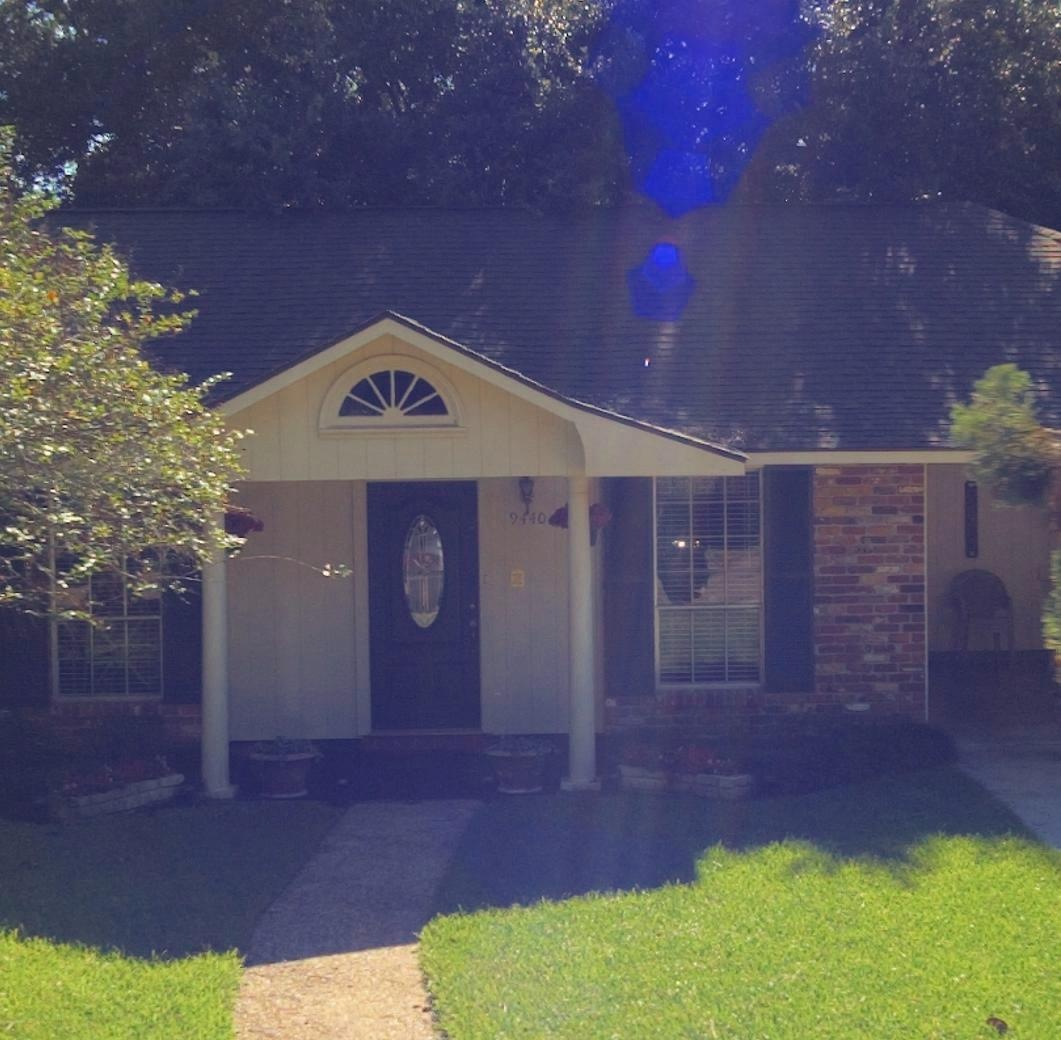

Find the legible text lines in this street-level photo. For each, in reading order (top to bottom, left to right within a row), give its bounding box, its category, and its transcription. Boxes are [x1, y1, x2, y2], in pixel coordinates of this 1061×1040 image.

[508, 511, 547, 525] StreetNumber: 9440